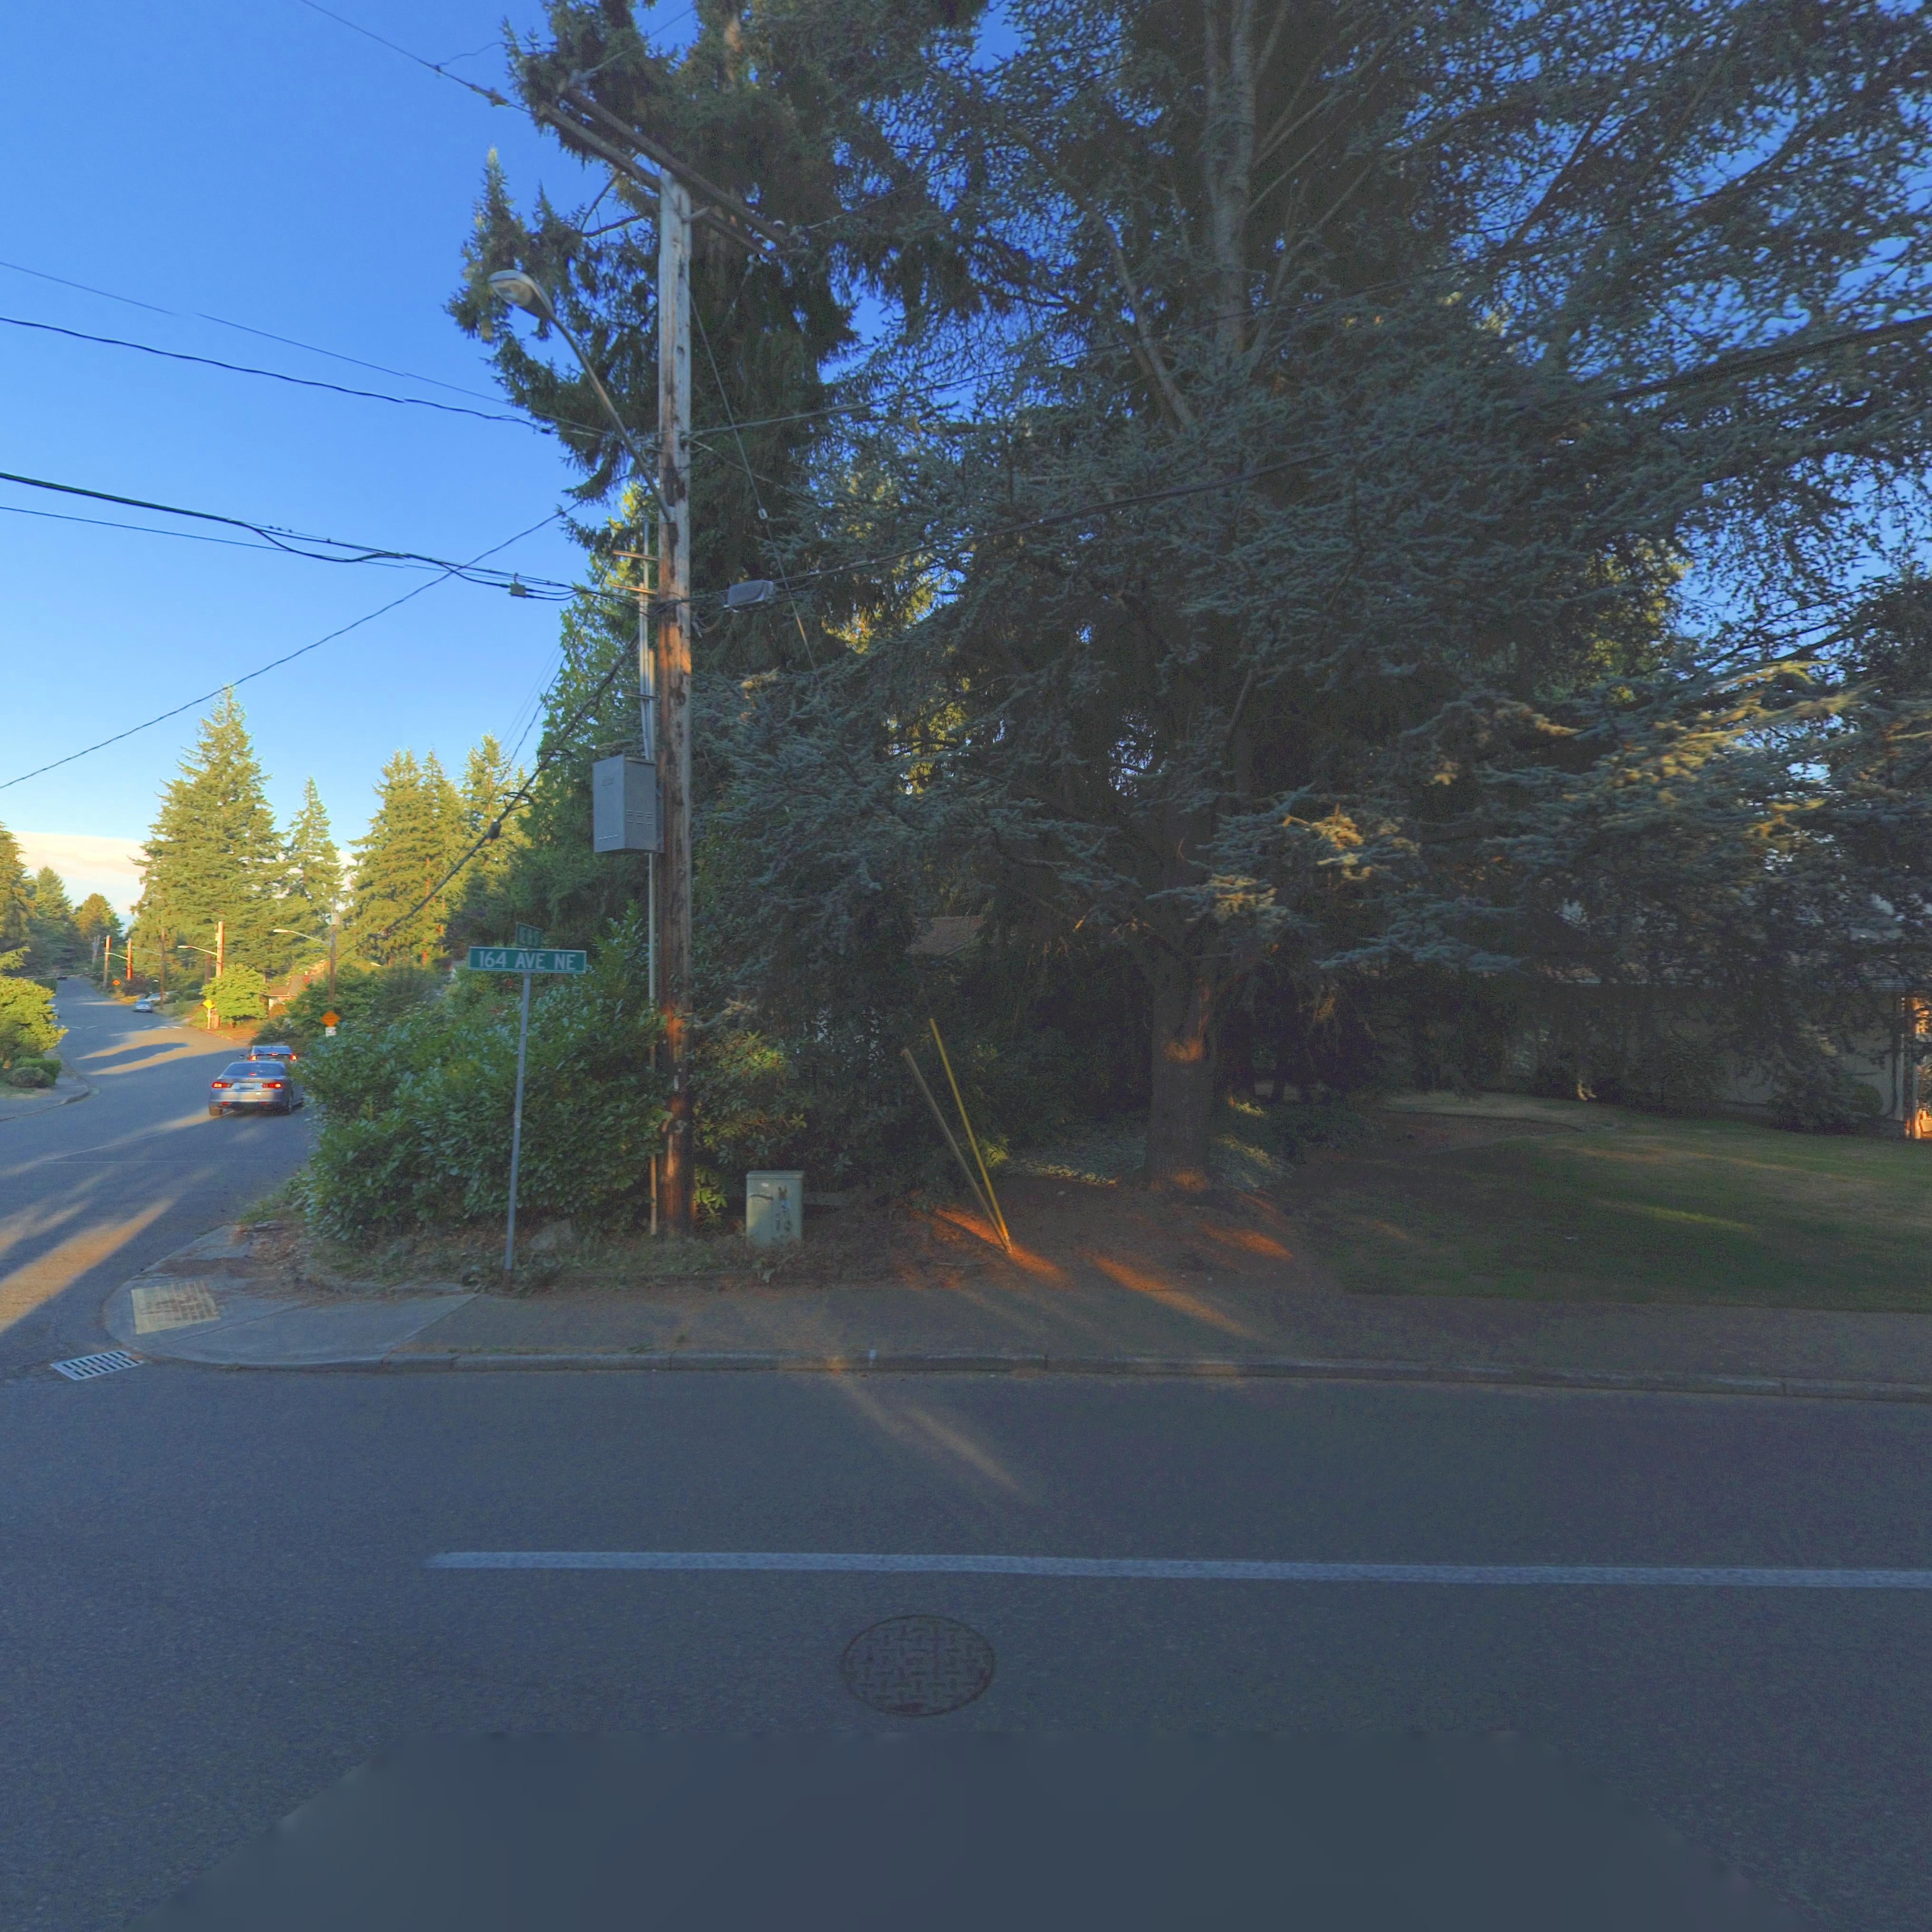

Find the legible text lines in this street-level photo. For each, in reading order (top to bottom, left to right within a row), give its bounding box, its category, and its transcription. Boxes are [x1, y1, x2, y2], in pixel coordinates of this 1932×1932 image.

[472, 951, 582, 970] StreetName: 164 AVE NE